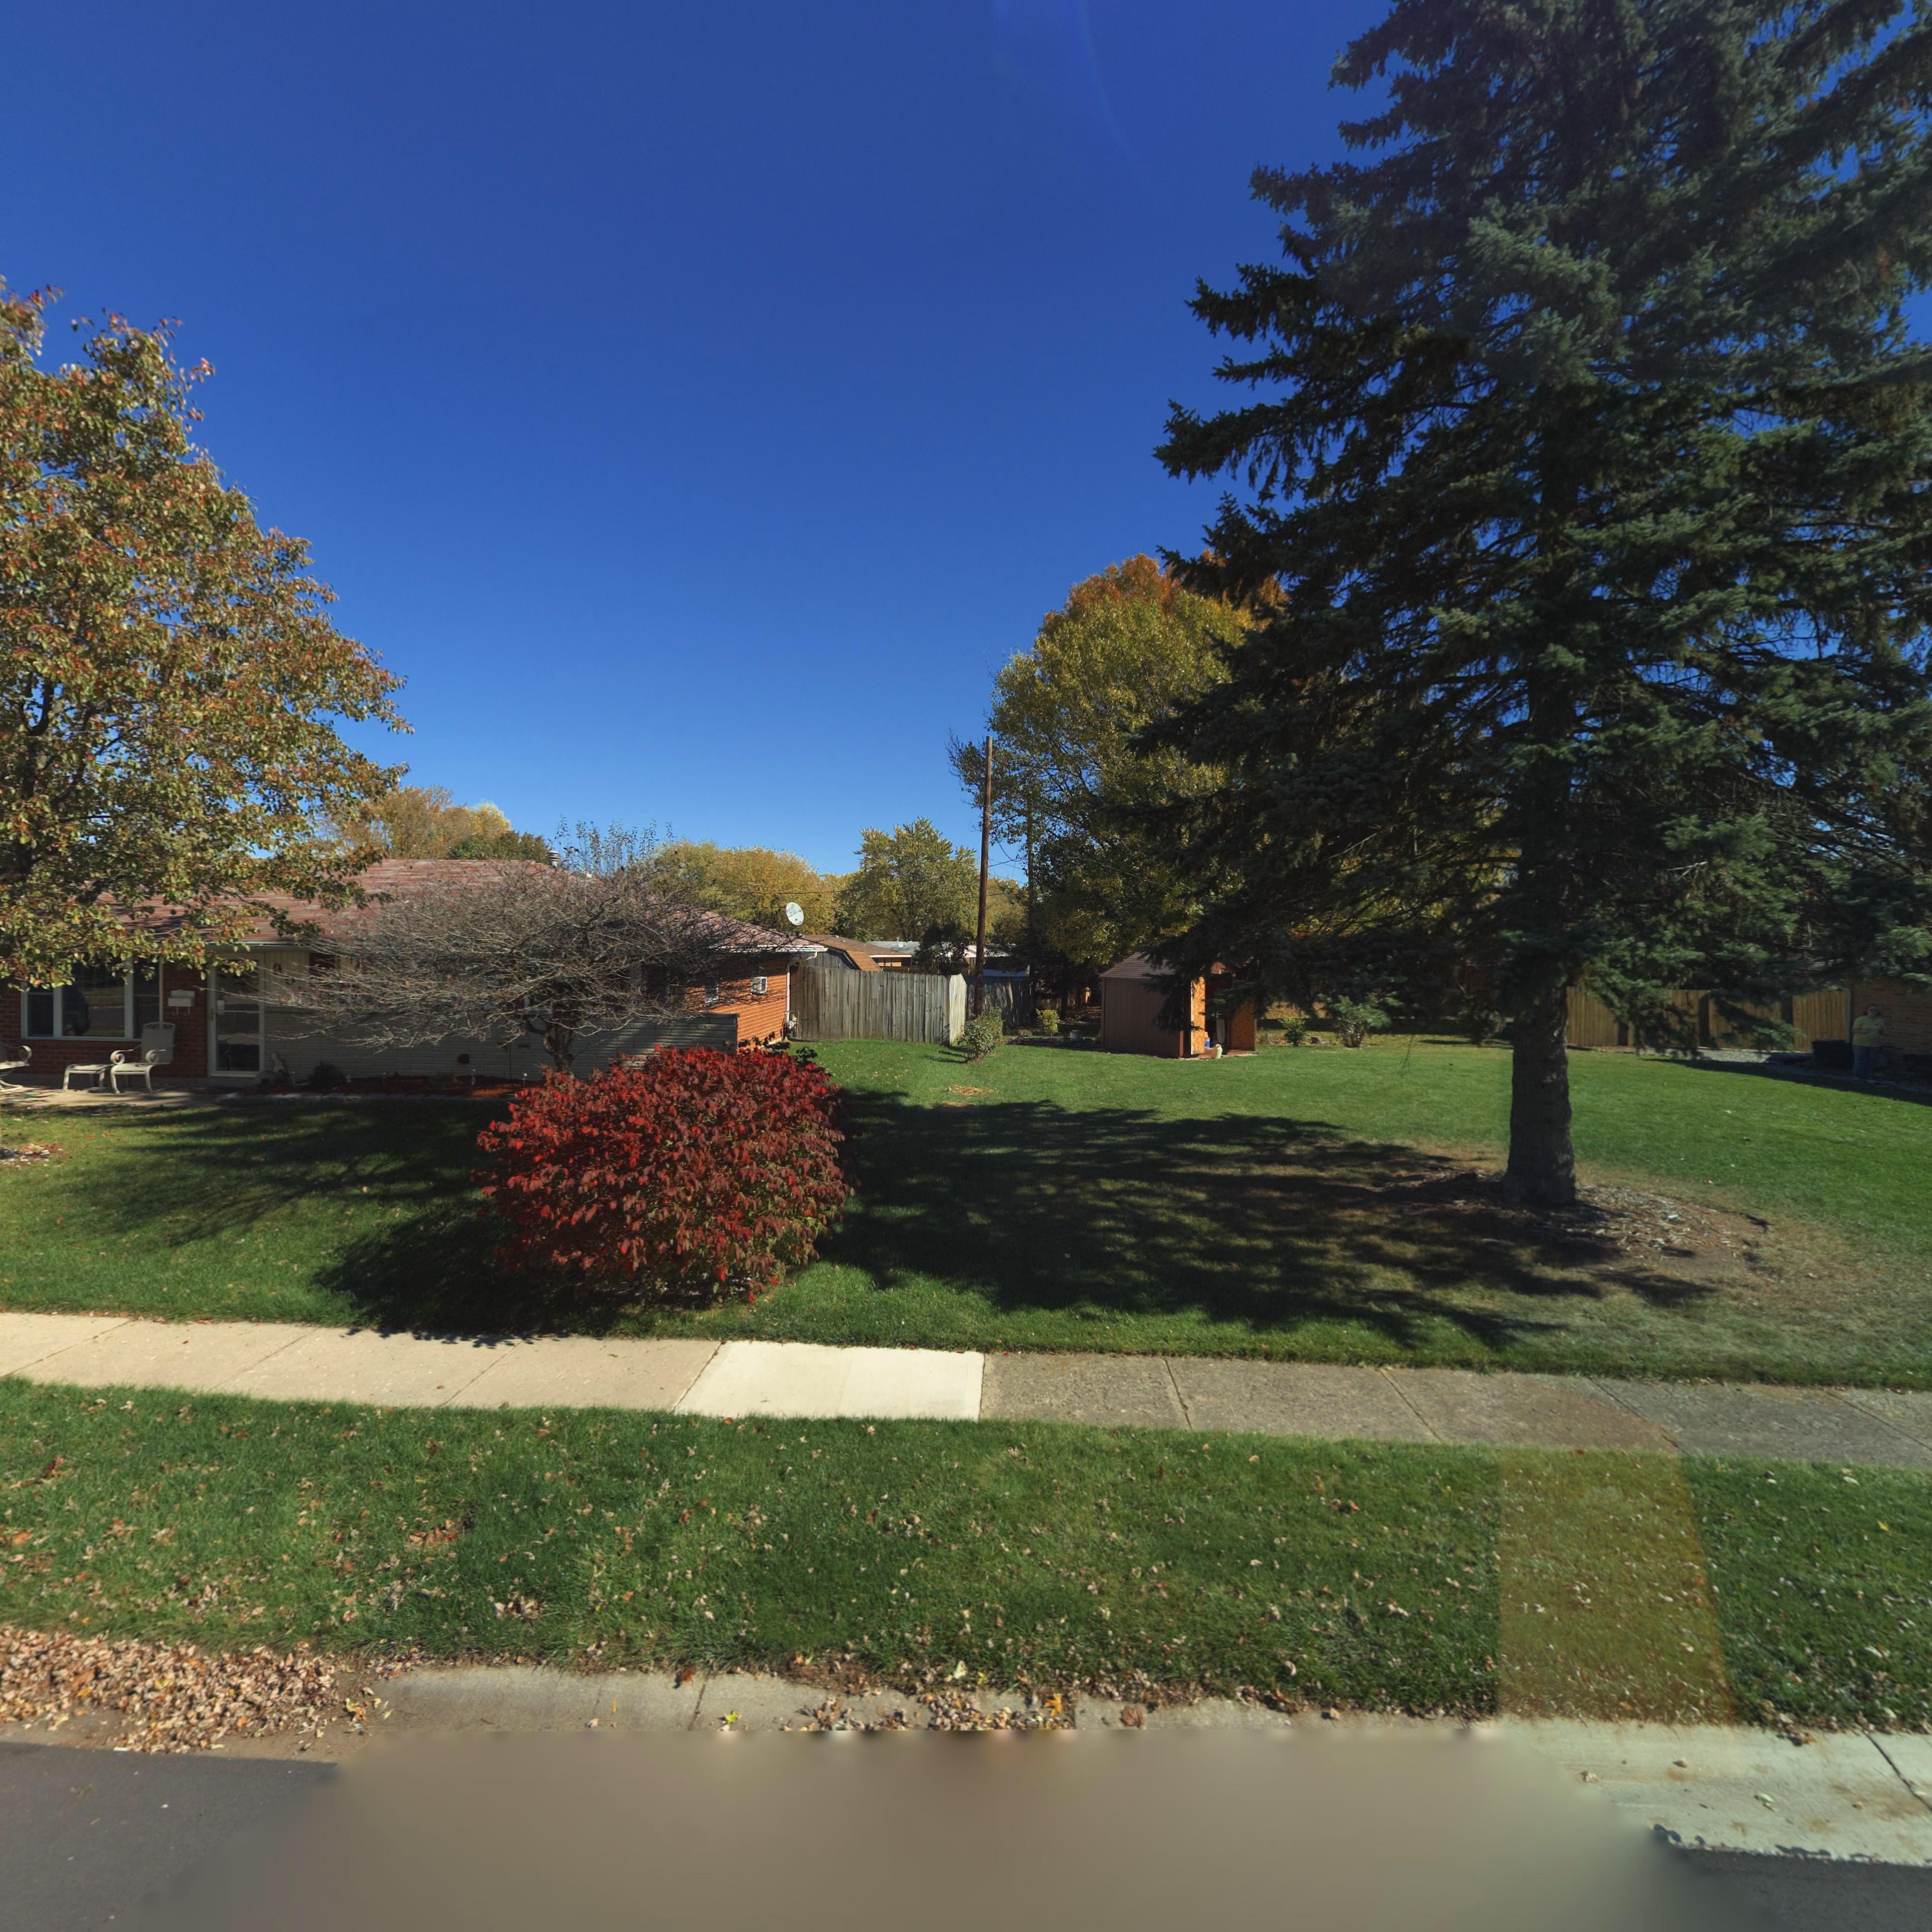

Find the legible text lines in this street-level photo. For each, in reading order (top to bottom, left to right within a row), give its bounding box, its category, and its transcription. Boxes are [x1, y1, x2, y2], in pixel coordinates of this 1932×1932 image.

[272, 963, 282, 975] StreetNumber: 9